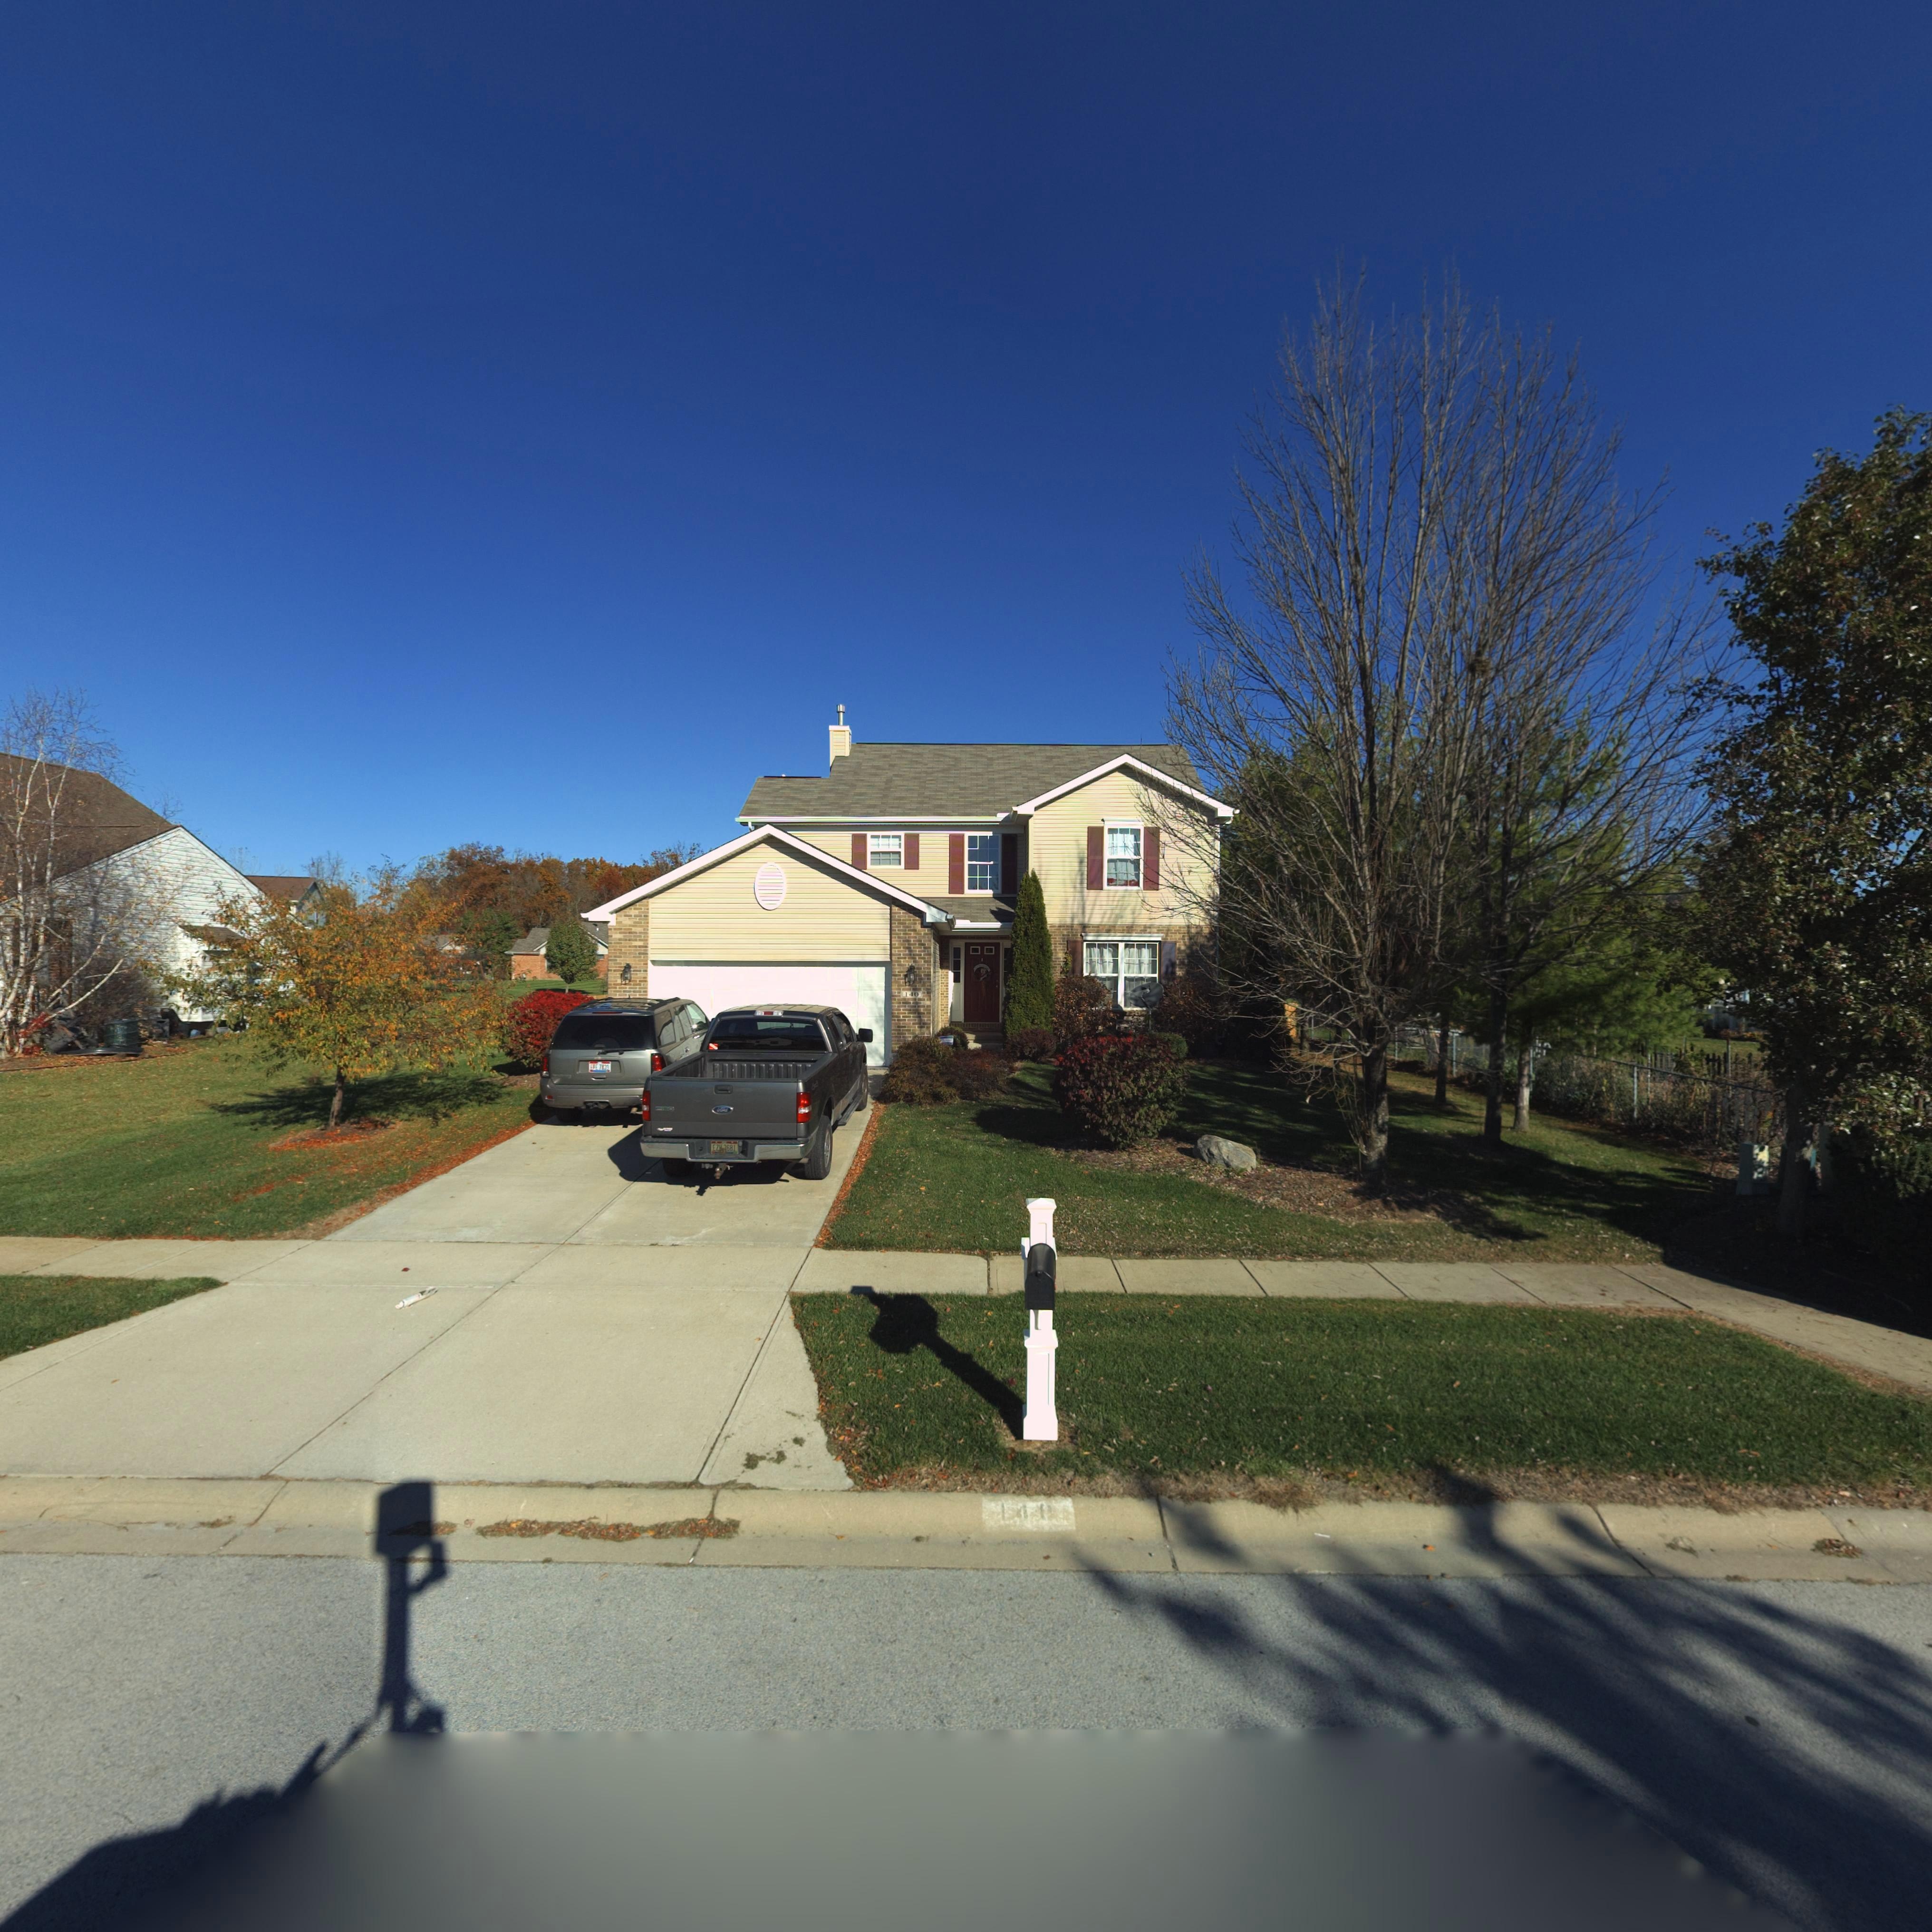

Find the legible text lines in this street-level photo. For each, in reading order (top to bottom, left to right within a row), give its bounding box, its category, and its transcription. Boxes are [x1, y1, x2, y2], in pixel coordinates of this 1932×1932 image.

[904, 991, 919, 997] StreetNumber: 140
[996, 1499, 1054, 1523] StreetNumber: 140